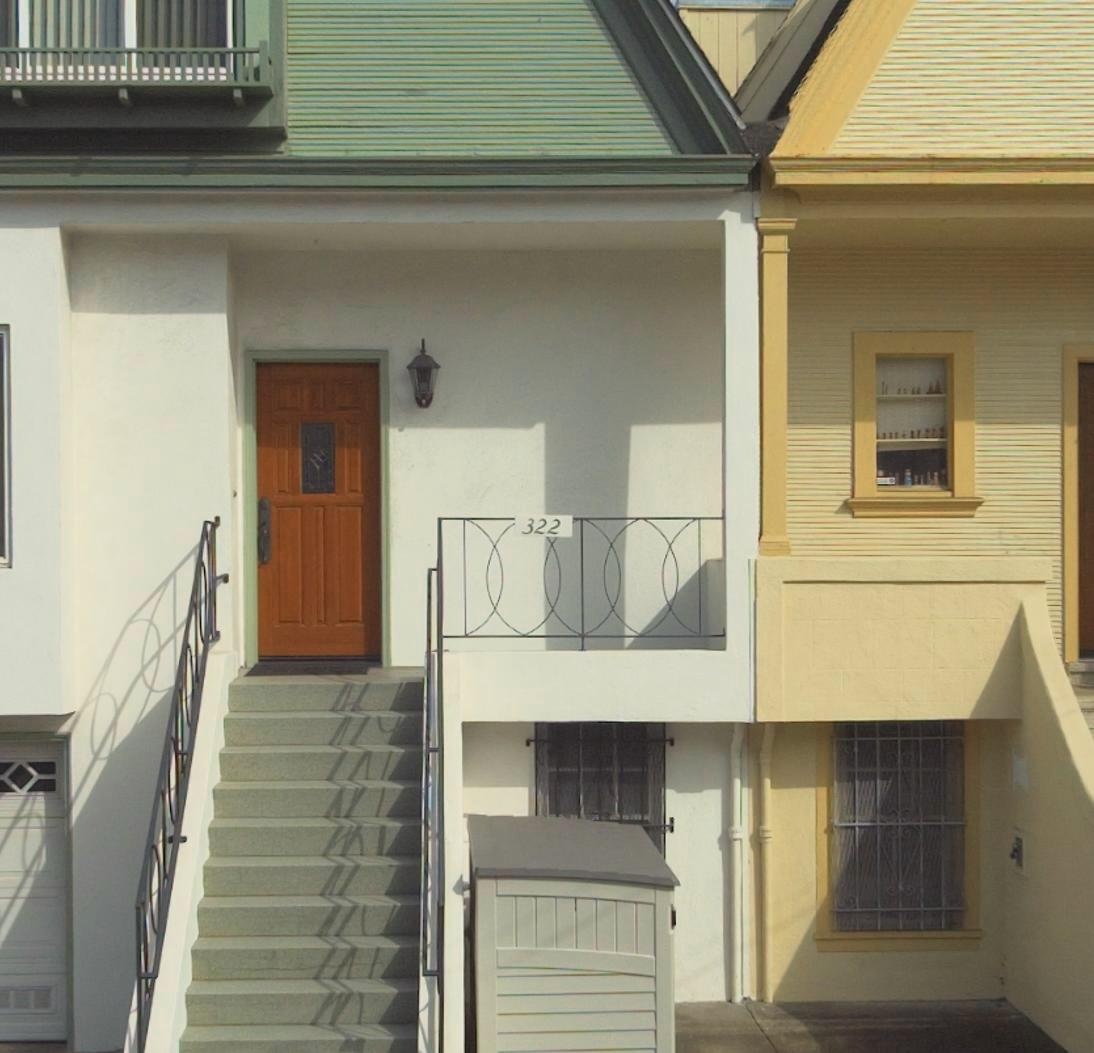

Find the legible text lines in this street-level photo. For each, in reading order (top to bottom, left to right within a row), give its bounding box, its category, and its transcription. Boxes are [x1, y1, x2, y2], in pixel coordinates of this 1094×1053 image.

[520, 516, 563, 536] StreetNumber: 322